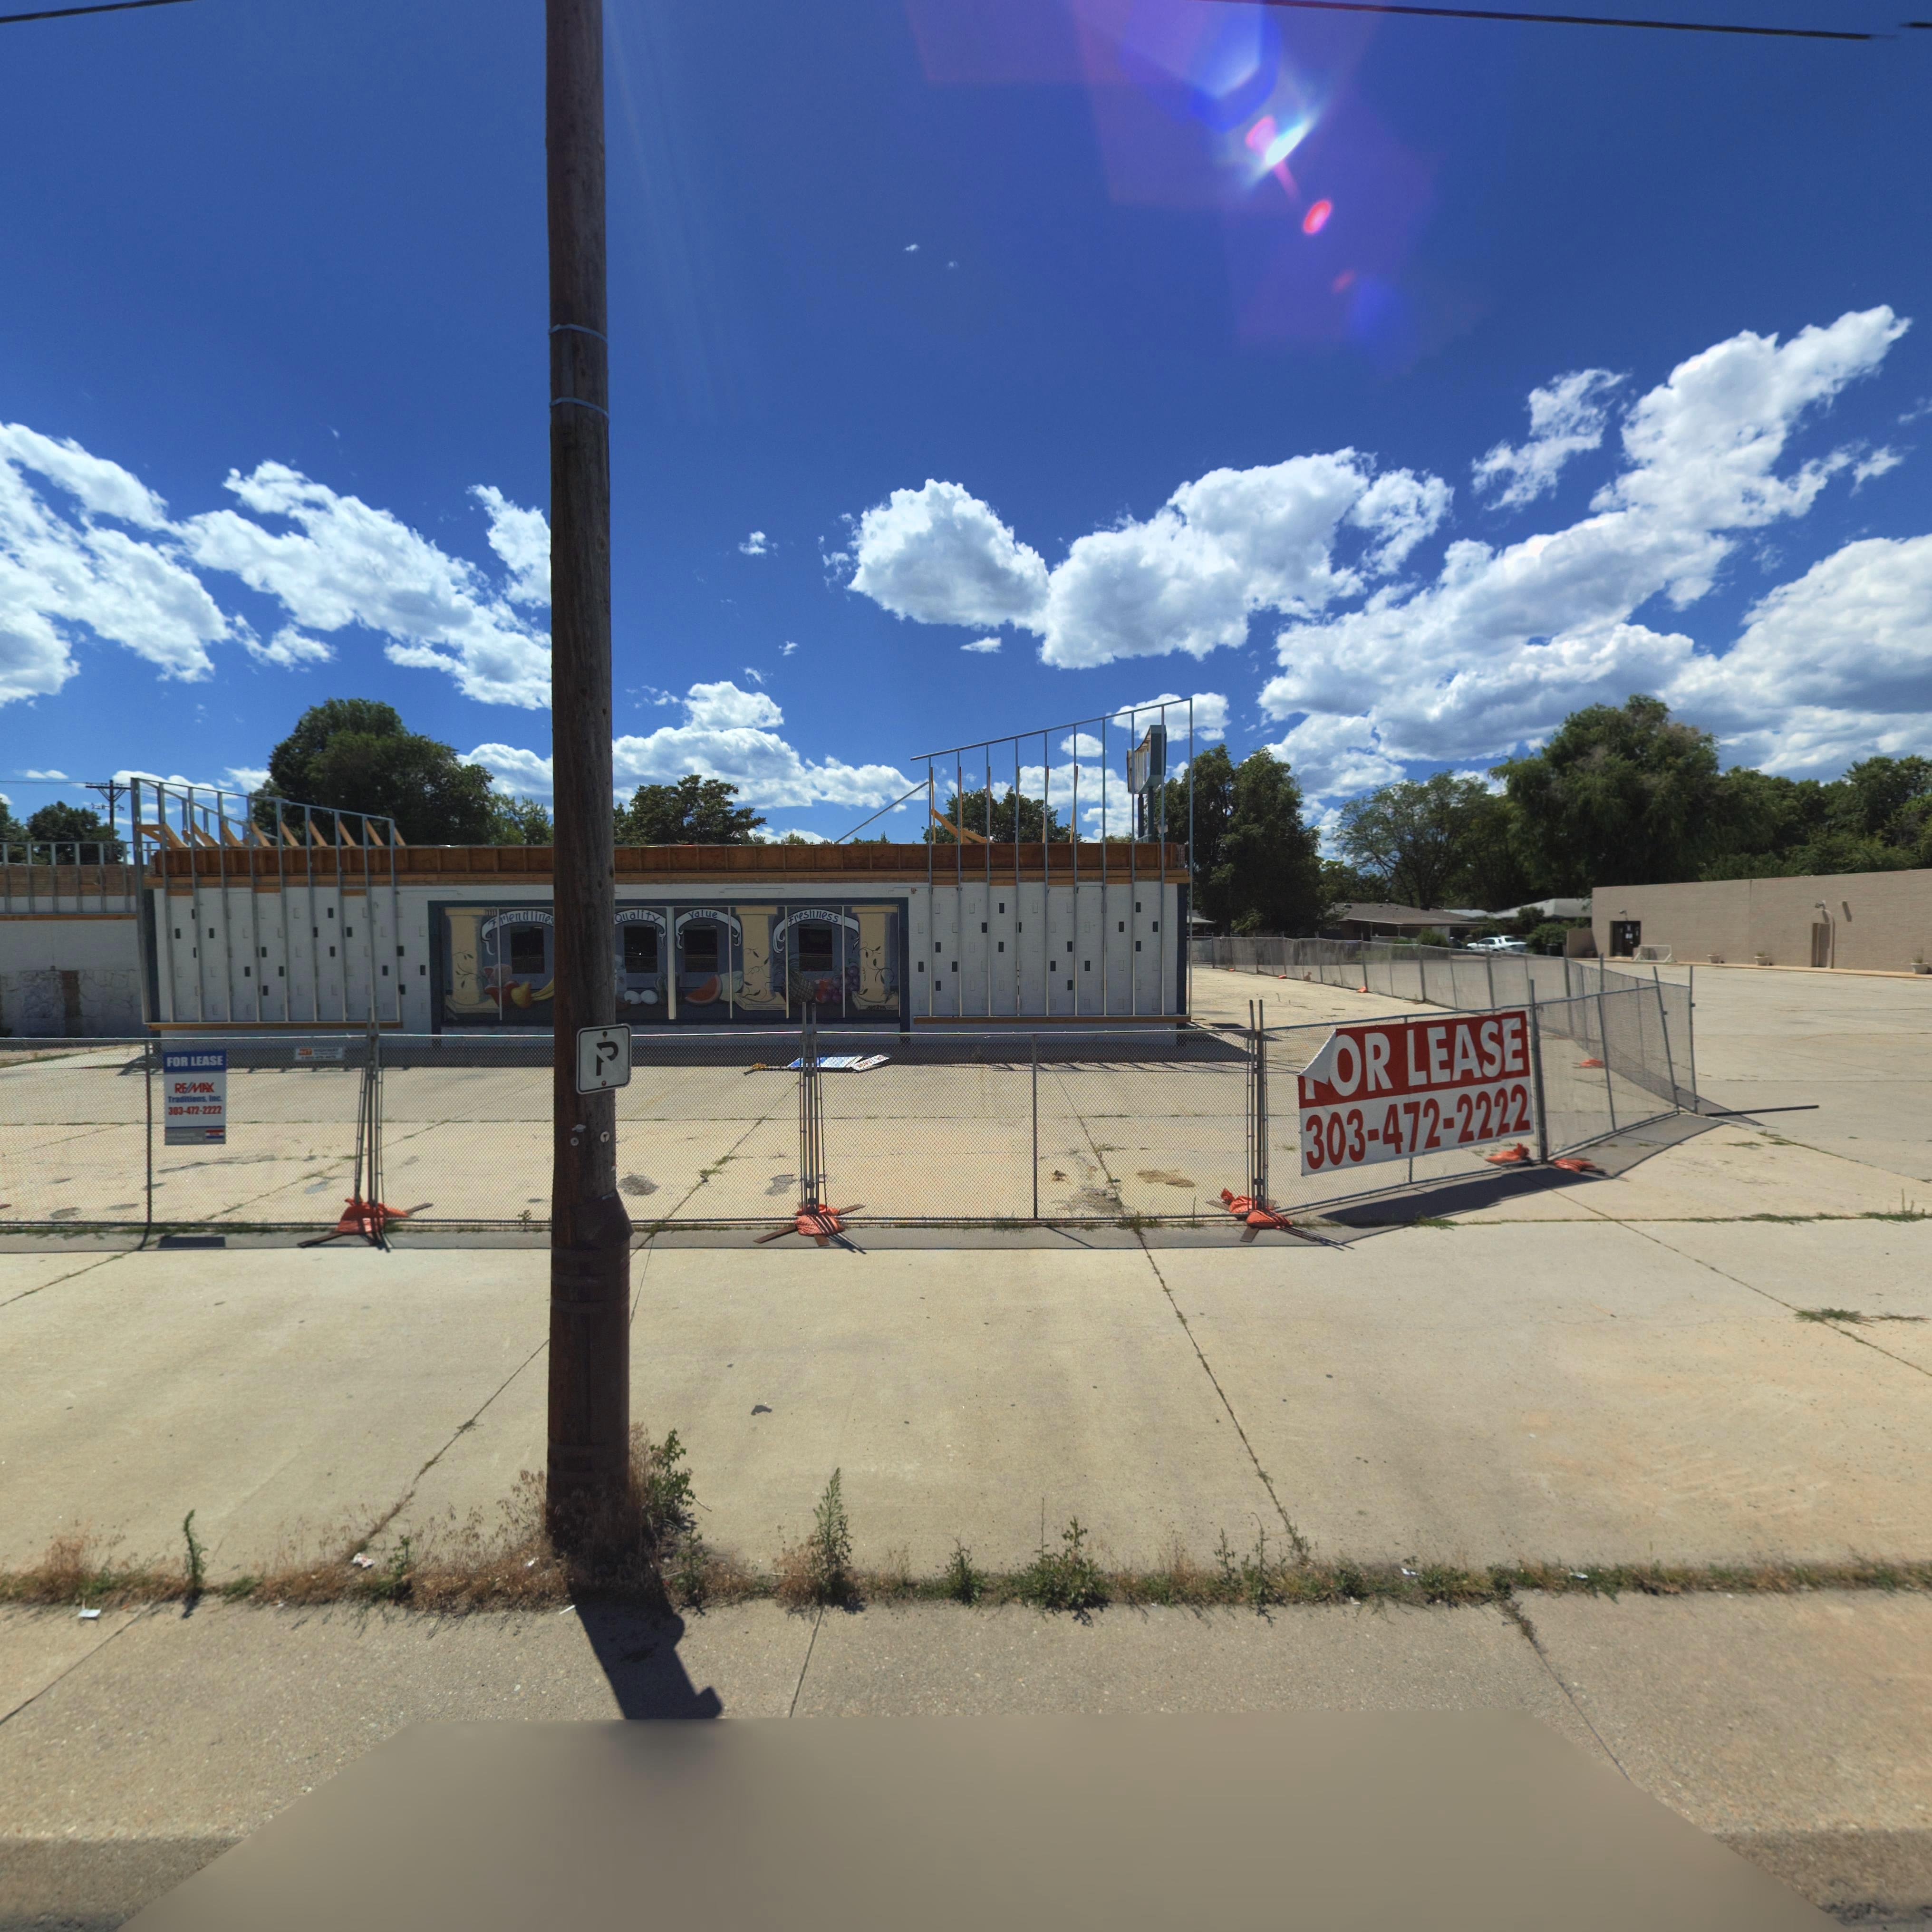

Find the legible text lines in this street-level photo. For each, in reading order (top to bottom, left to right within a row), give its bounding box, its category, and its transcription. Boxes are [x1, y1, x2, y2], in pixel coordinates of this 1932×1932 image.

[486, 908, 497, 916] StreetNumber: 1111